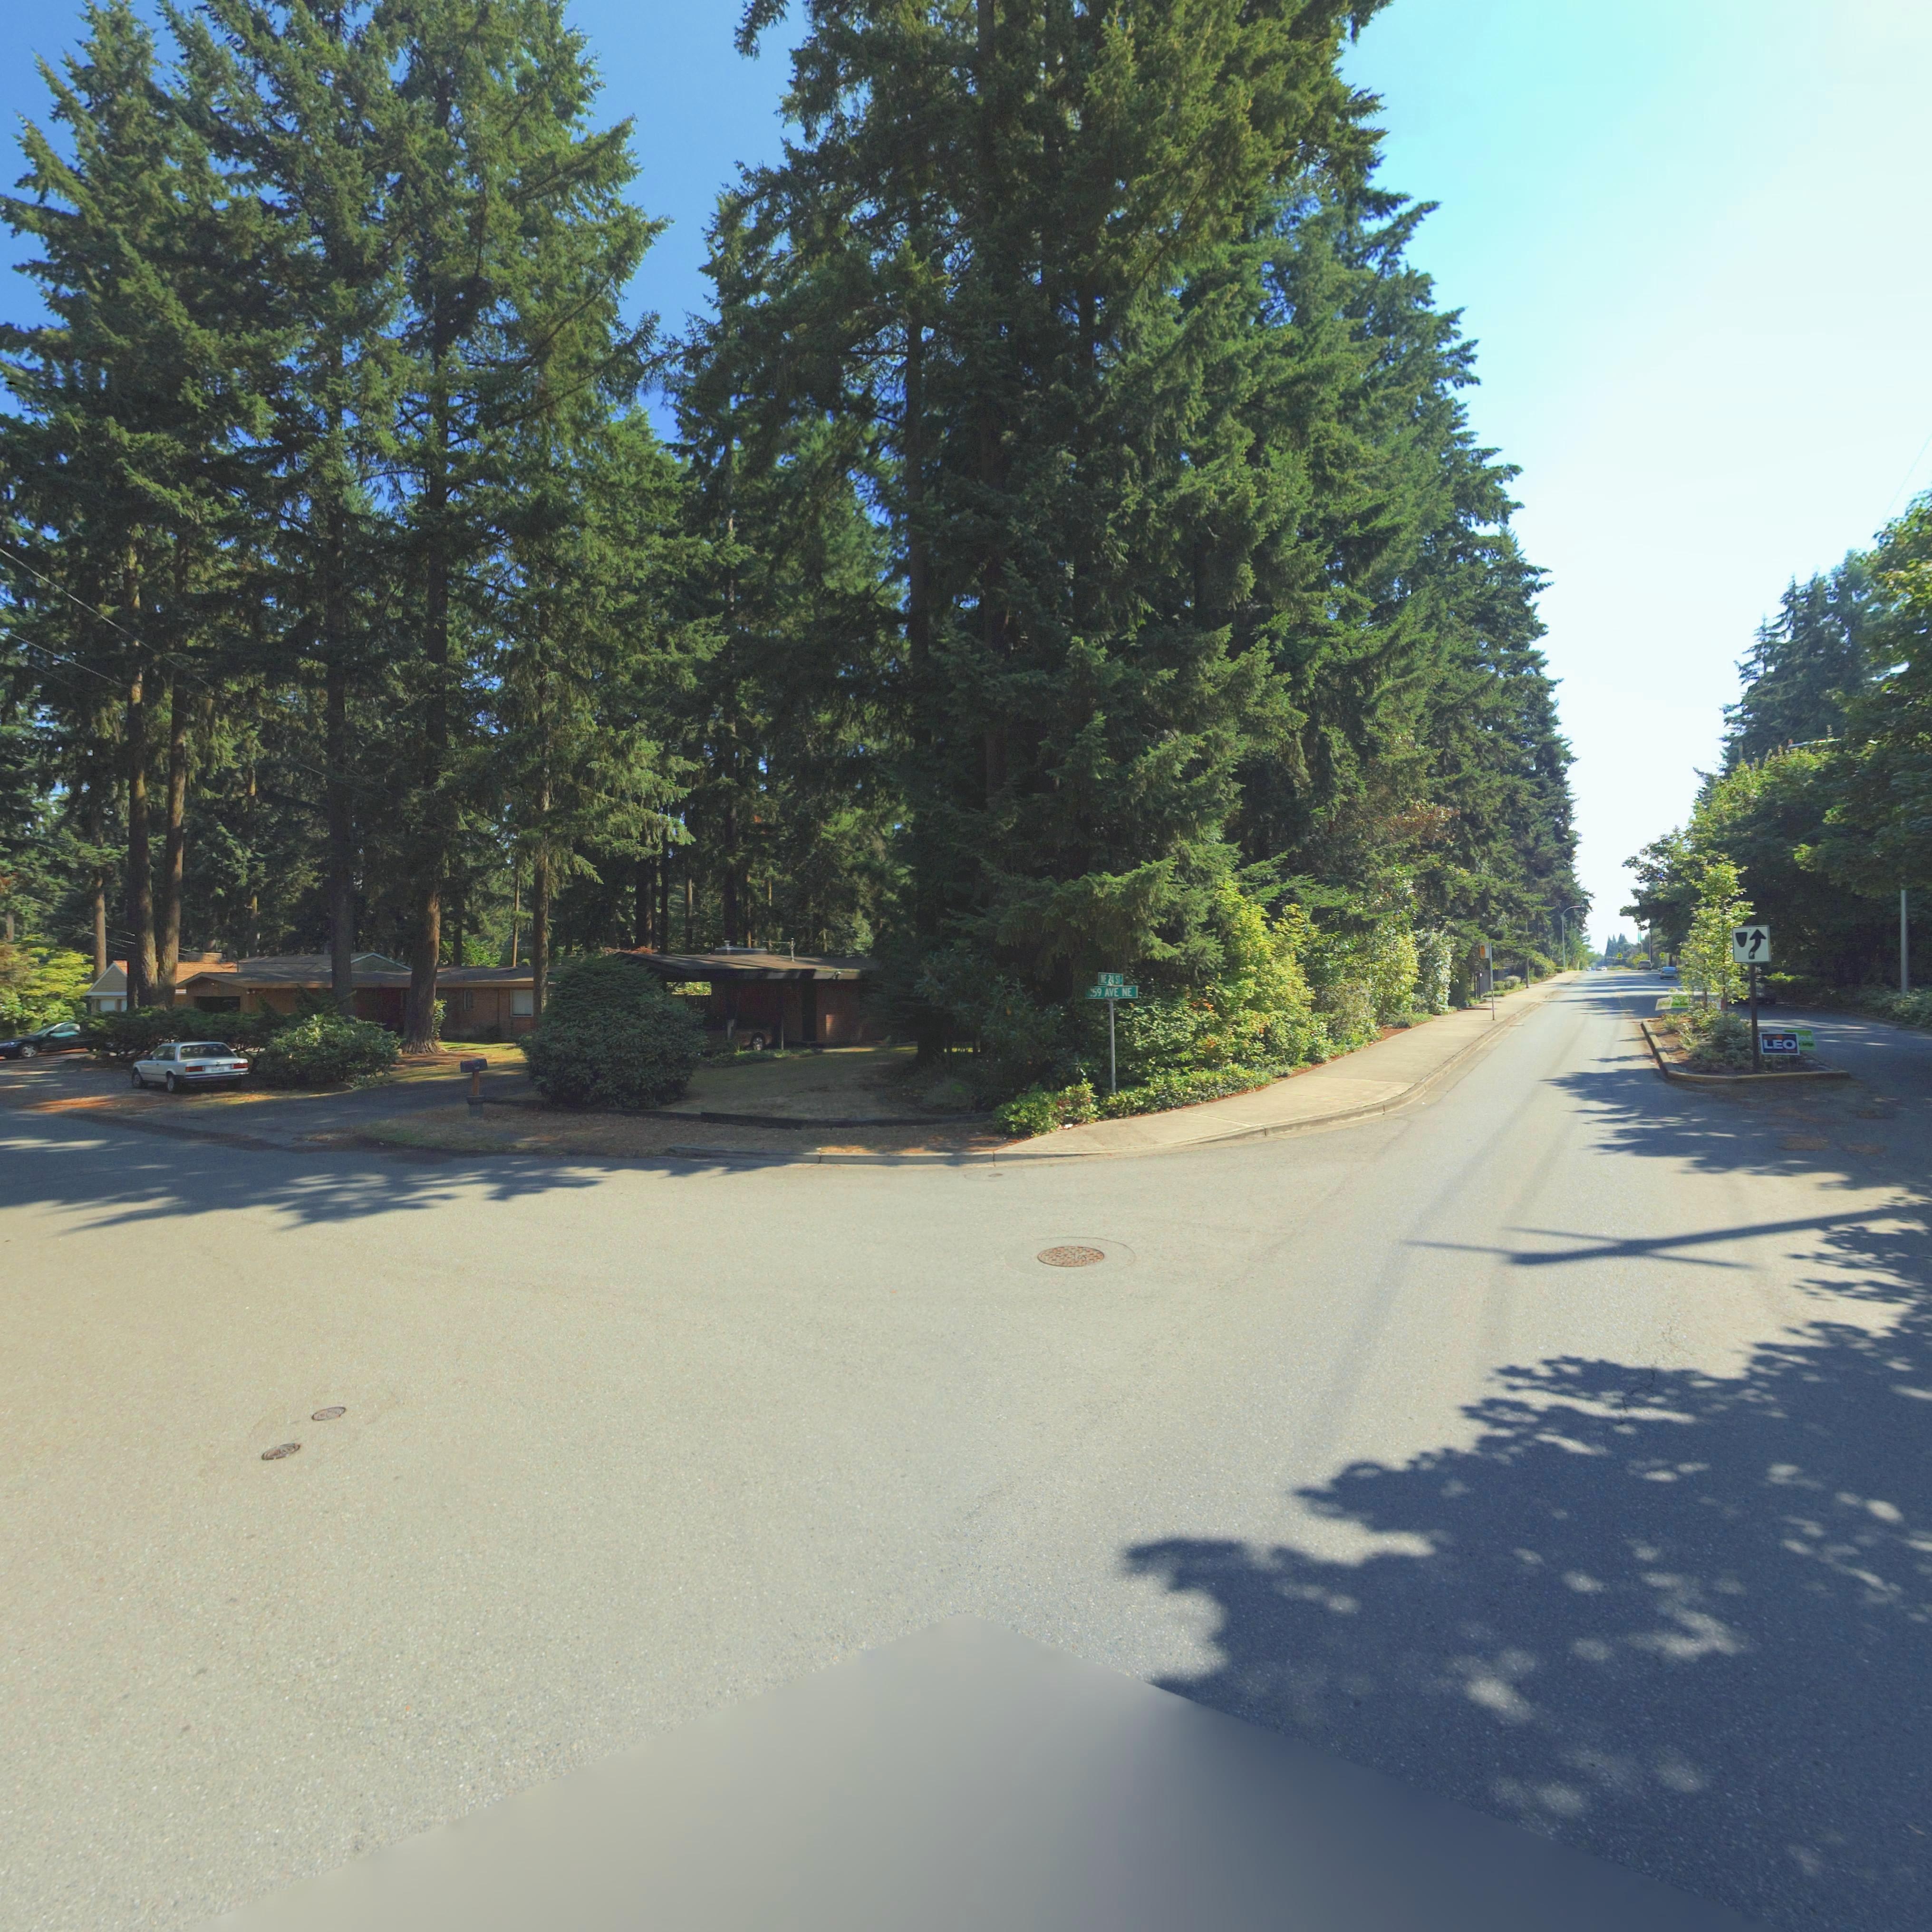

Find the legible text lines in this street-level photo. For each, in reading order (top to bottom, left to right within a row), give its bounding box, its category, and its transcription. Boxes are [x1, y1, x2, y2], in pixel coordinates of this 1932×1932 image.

[1100, 974, 1121, 985] StreetName: NE 24 ST
[1091, 988, 1131, 996] StreetName: *59 AVE NE